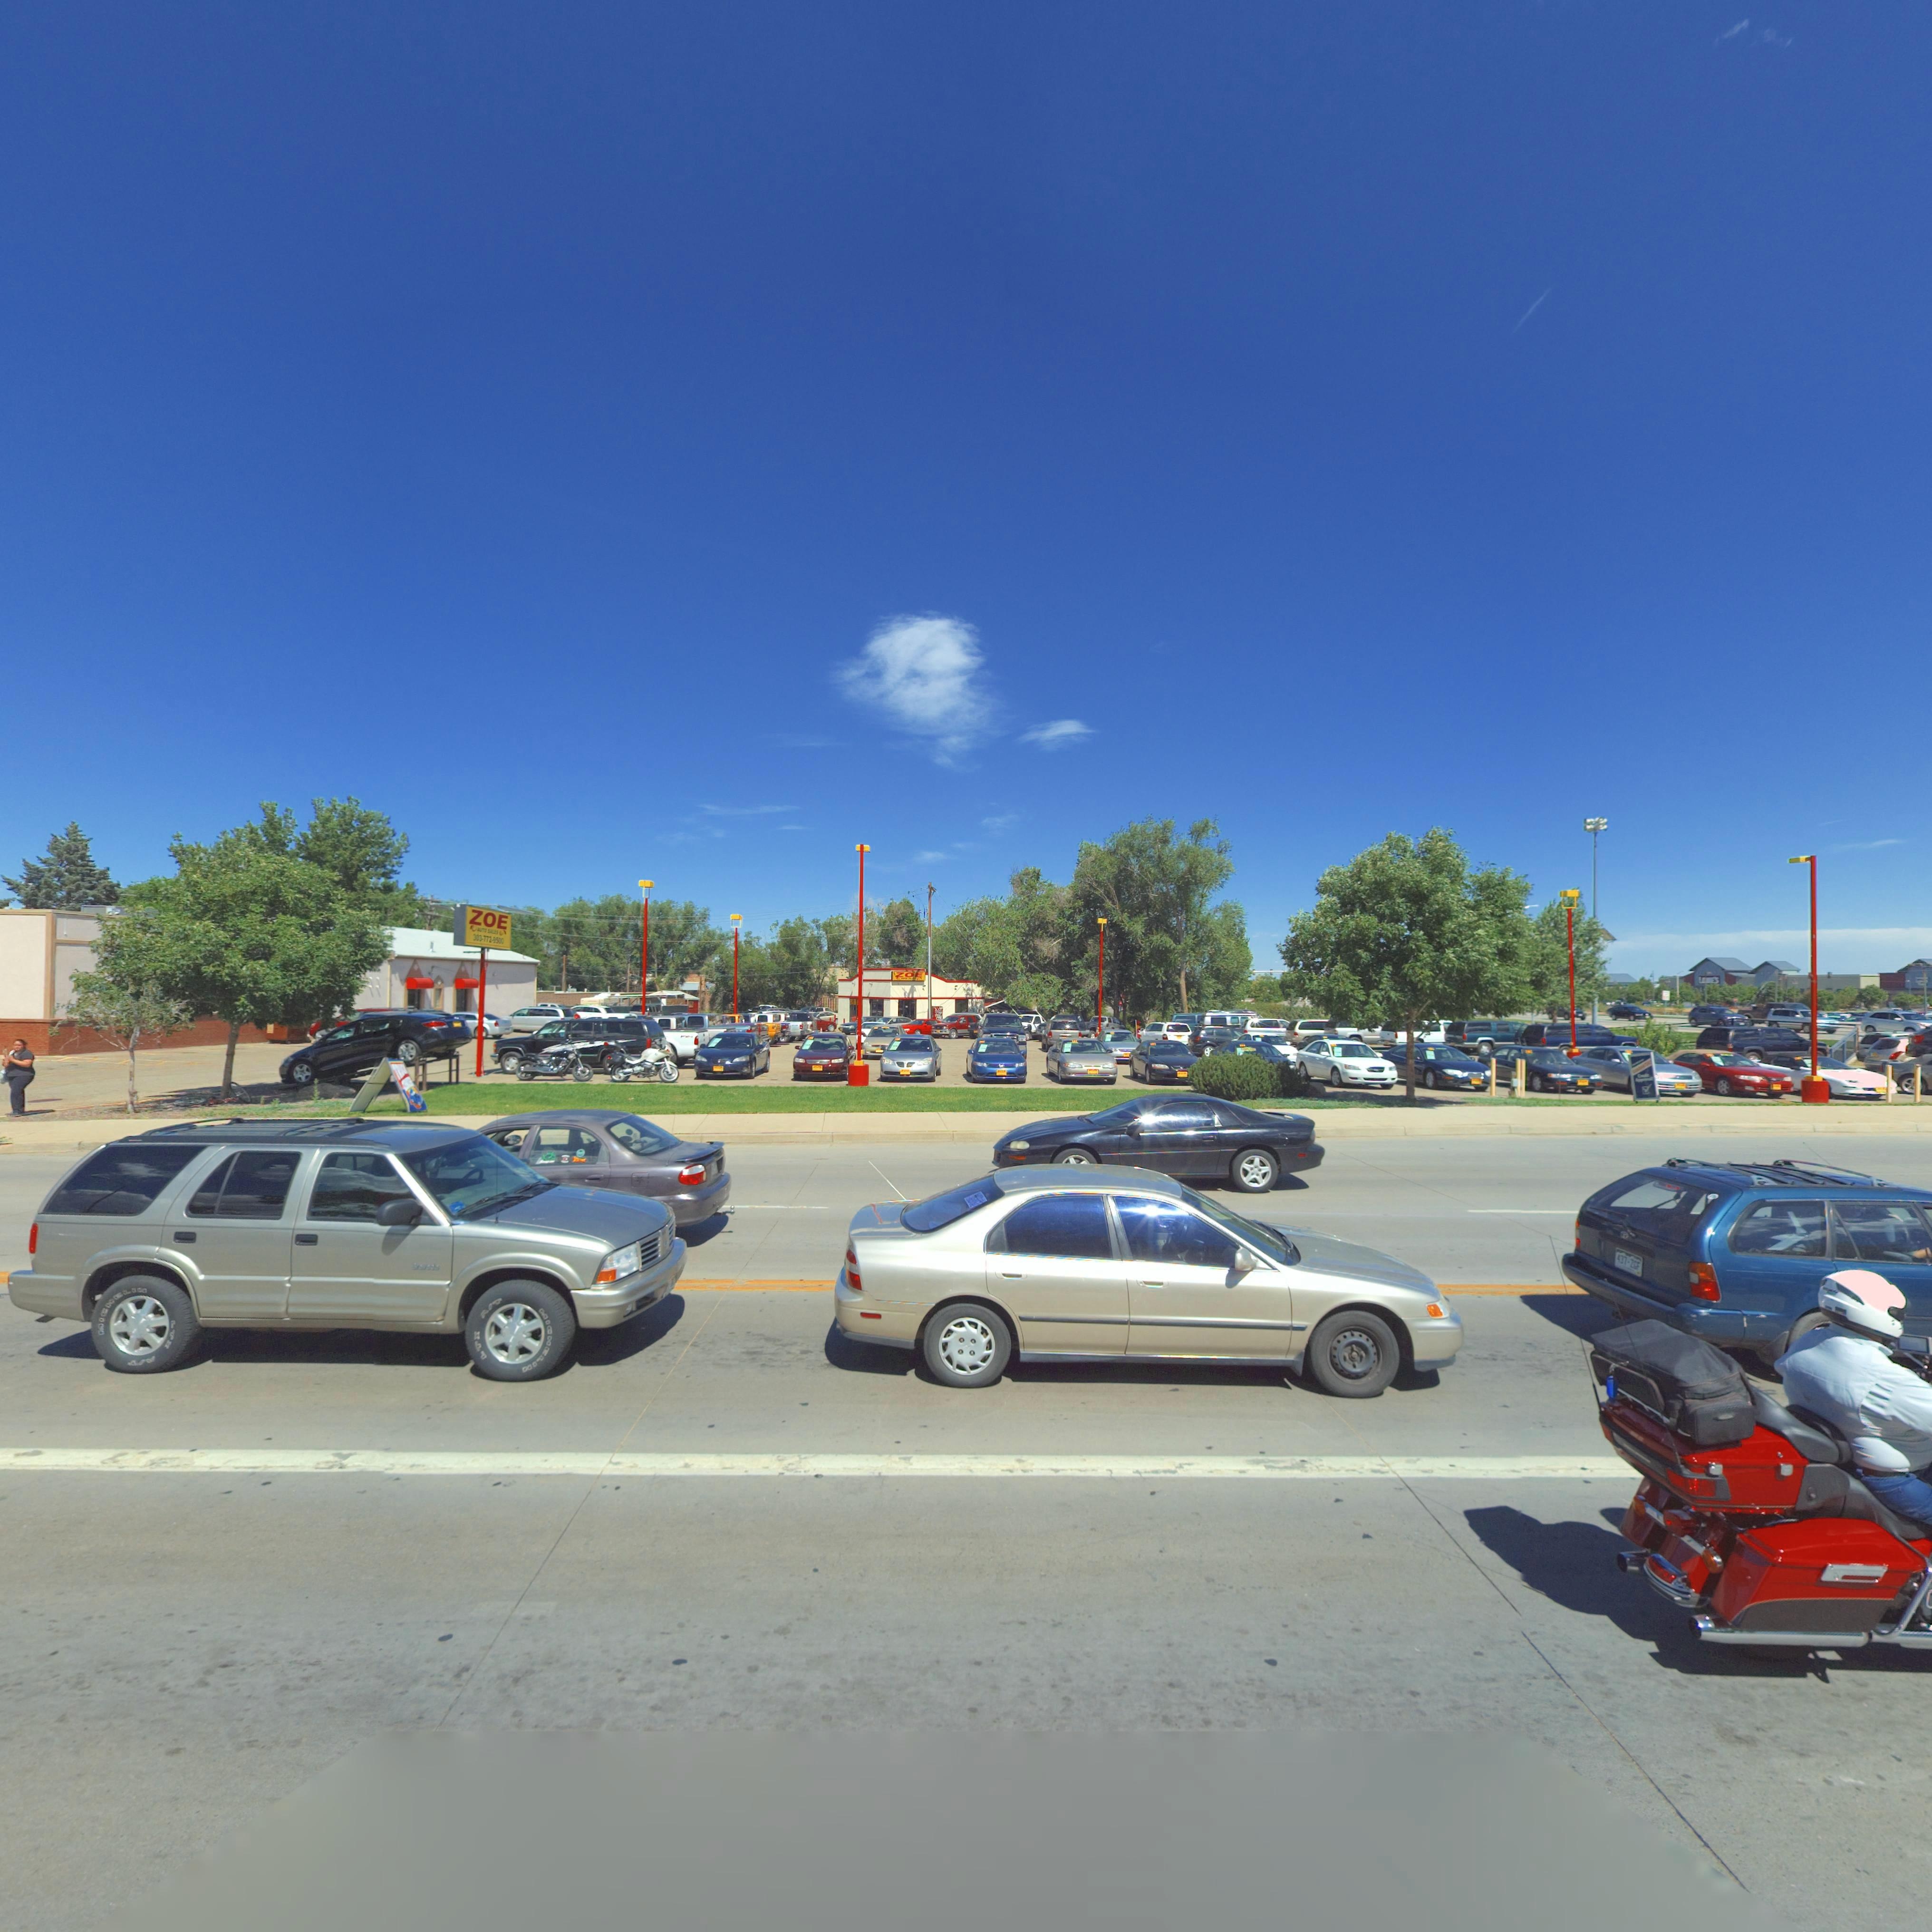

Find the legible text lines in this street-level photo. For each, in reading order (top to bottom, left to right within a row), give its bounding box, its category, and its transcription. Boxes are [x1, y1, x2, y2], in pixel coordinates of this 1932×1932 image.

[469, 909, 508, 929] BusinessName: ZOE
[895, 971, 923, 977] BusinessName: ZOE